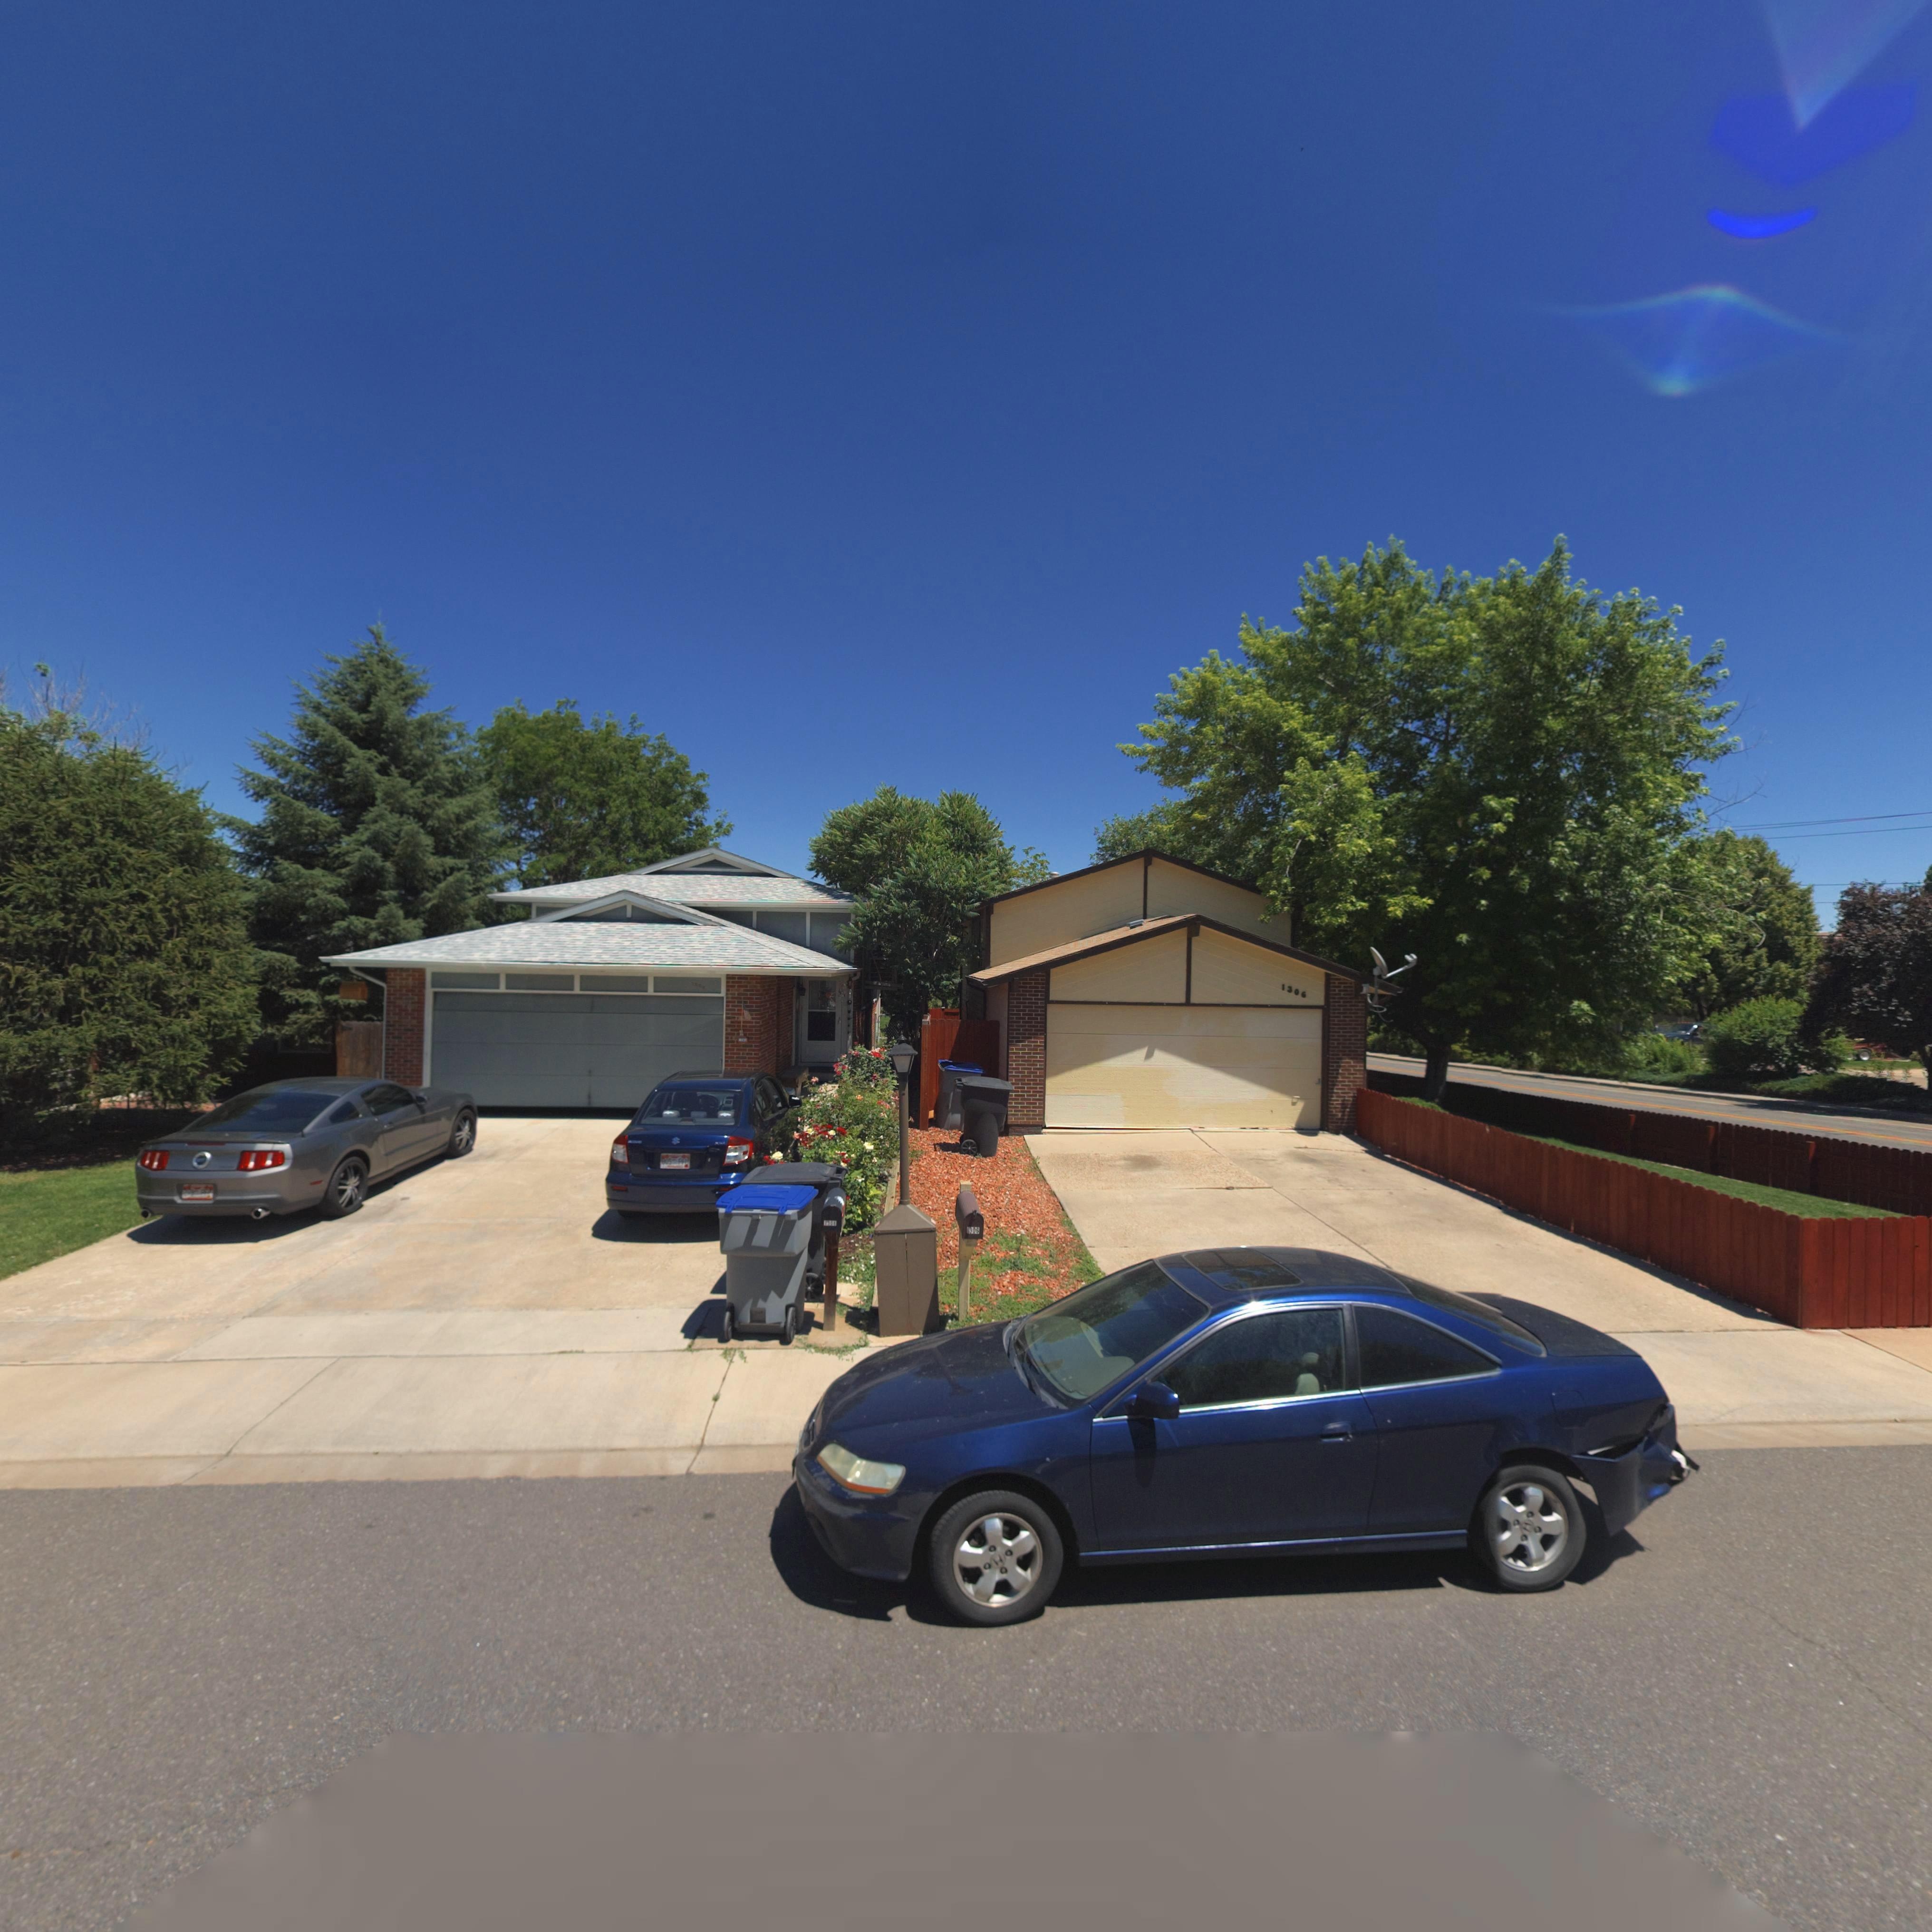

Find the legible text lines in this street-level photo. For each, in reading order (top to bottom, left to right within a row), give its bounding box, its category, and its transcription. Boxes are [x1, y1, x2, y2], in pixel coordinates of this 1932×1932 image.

[1282, 983, 1306, 998] StreetNumber: 1306
[824, 1220, 836, 1225] StreetNumber: 1*0*
[967, 1227, 979, 1234] StreetNumber: 1306